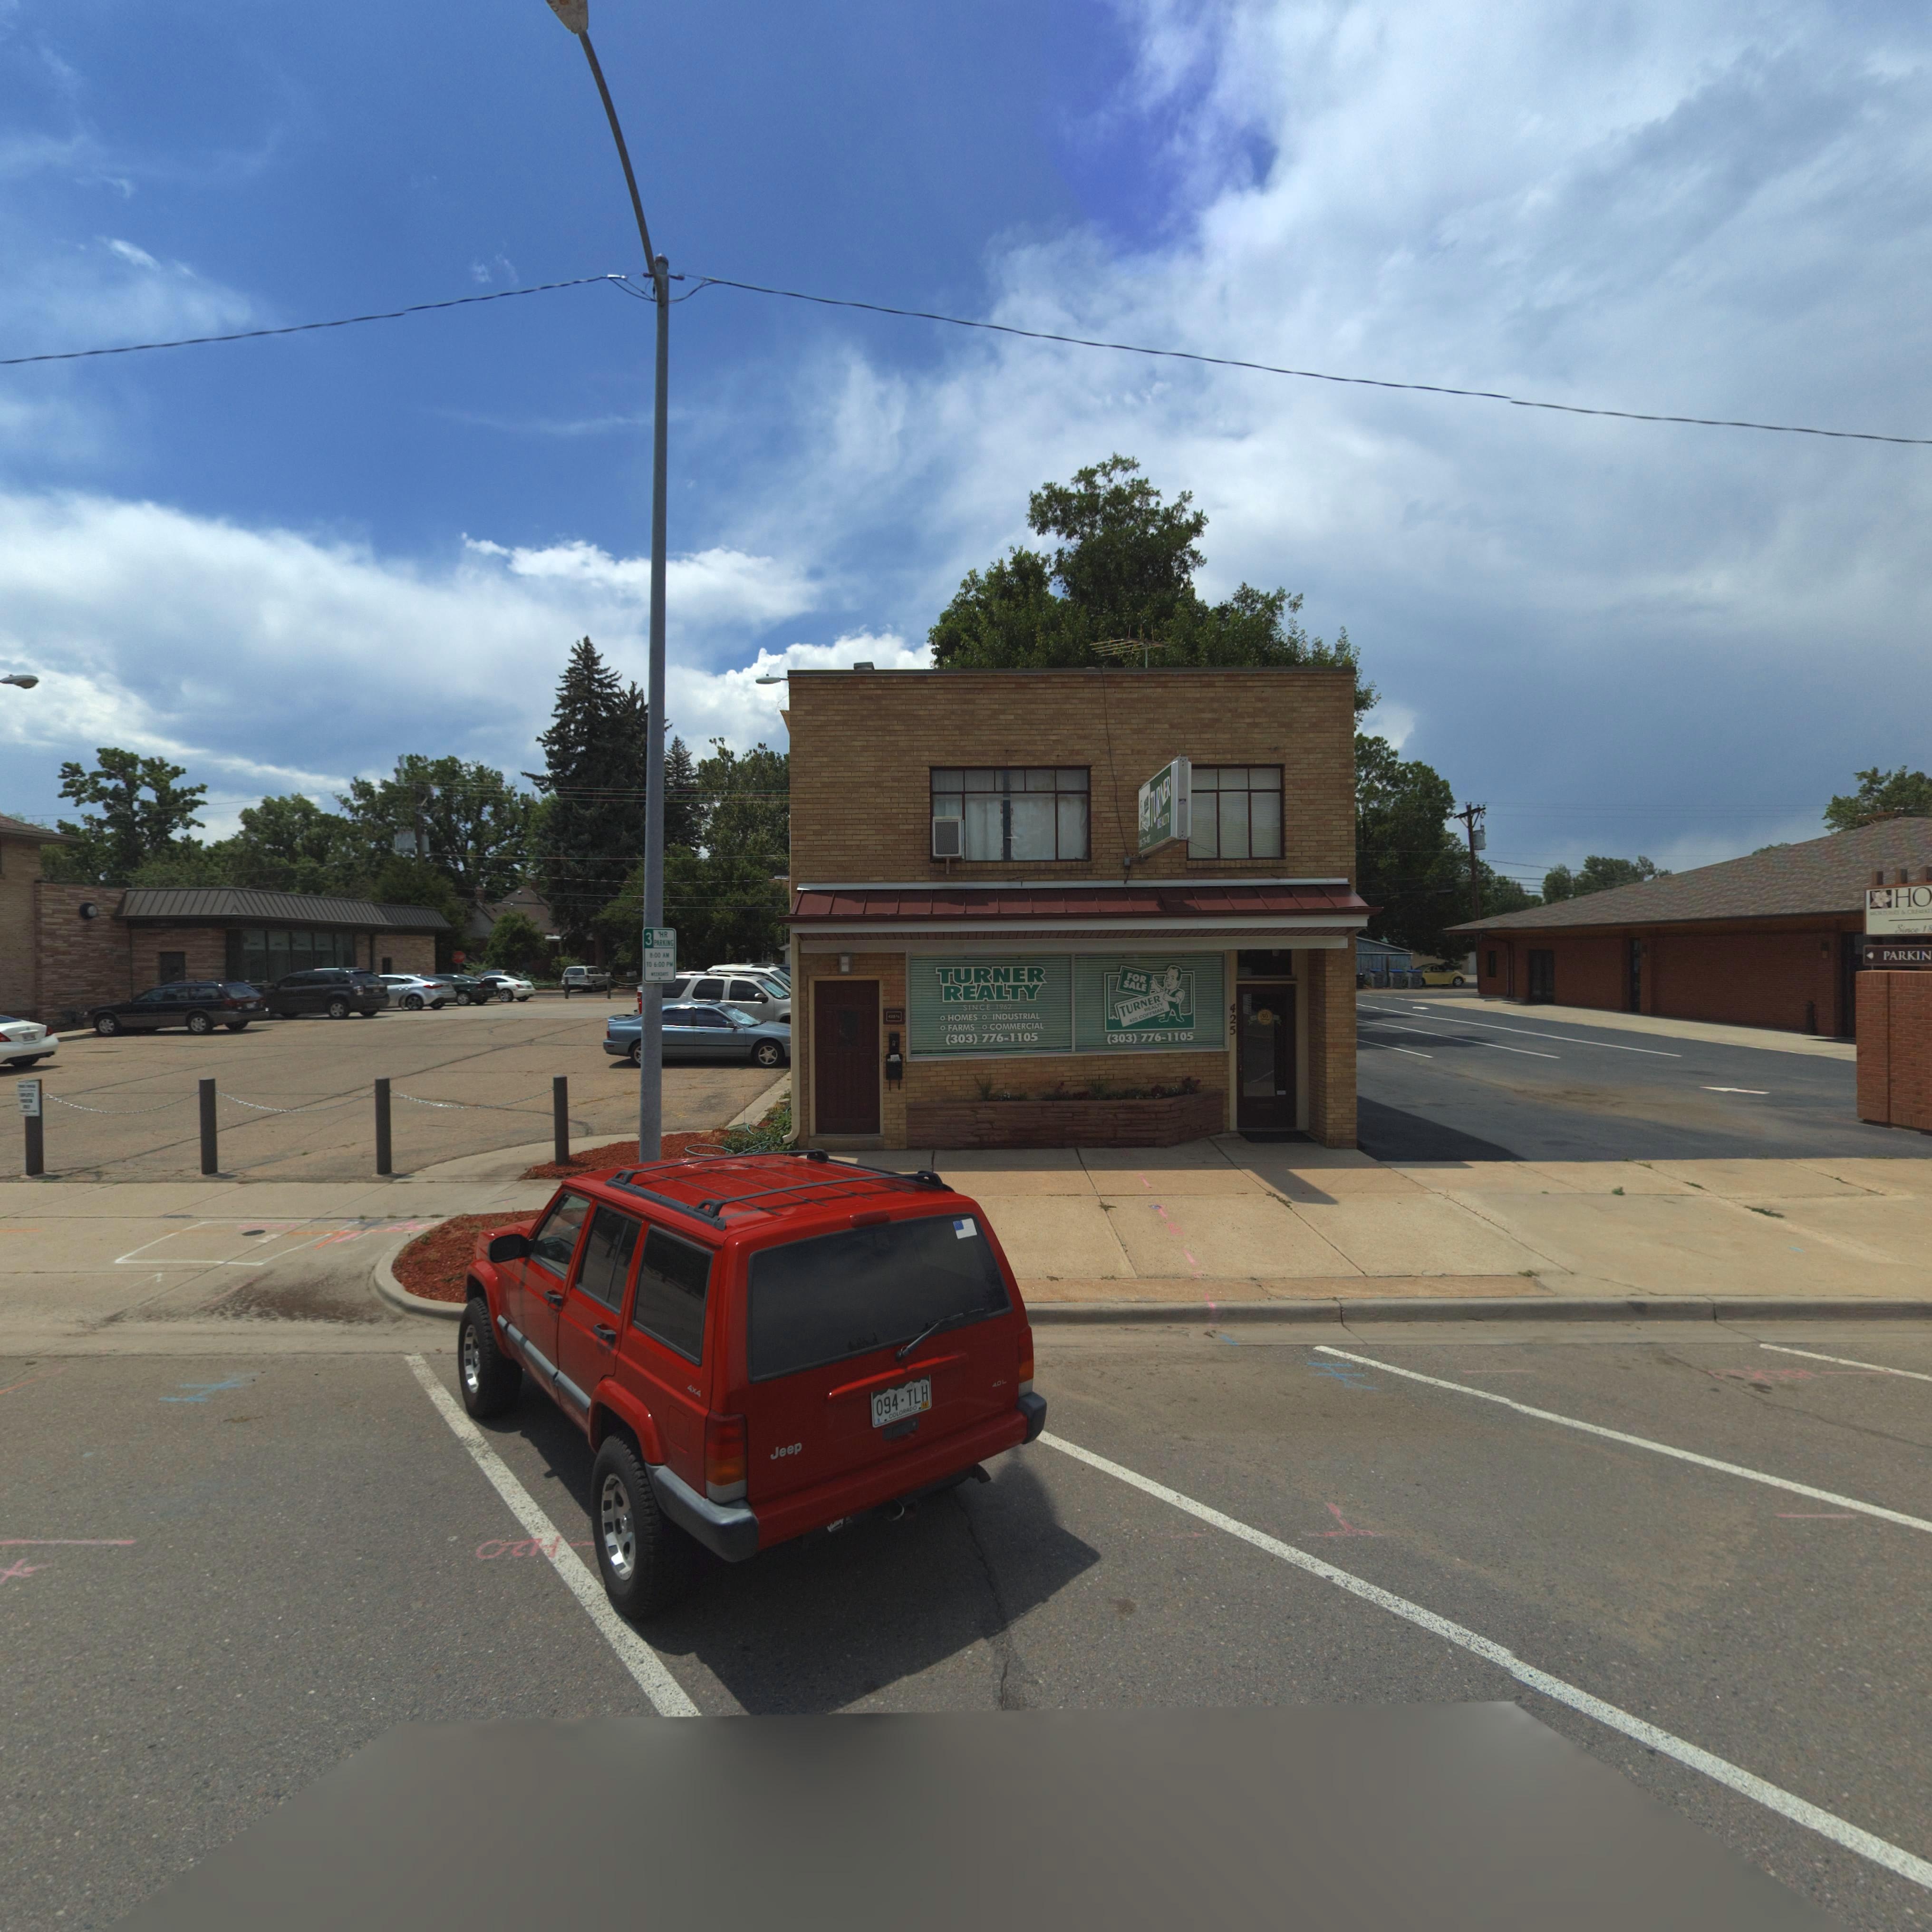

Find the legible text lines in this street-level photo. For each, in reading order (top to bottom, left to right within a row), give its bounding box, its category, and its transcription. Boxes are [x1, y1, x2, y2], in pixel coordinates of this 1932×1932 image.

[1150, 775, 1170, 828] BusinessName: TURNER
[1157, 811, 1170, 830] BusinessName: *EALTY
[1894, 887, 1931, 908] BusinessName: HO
[937, 966, 1046, 984] BusinessName: TURNER
[943, 983, 1041, 1002] BusinessName: REALITY
[888, 1014, 895, 1018] StreetNumber: 4**
[1129, 1016, 1138, 1023] StreetNumber: 425
[1118, 995, 1161, 1017] BusinessName: TURNER
[1139, 1007, 1164, 1019] StreetName: COFFMAN
[1143, 1001, 1163, 1012] BusinessName: REALTY
[1229, 1003, 1236, 1035] StreetNumber: 425